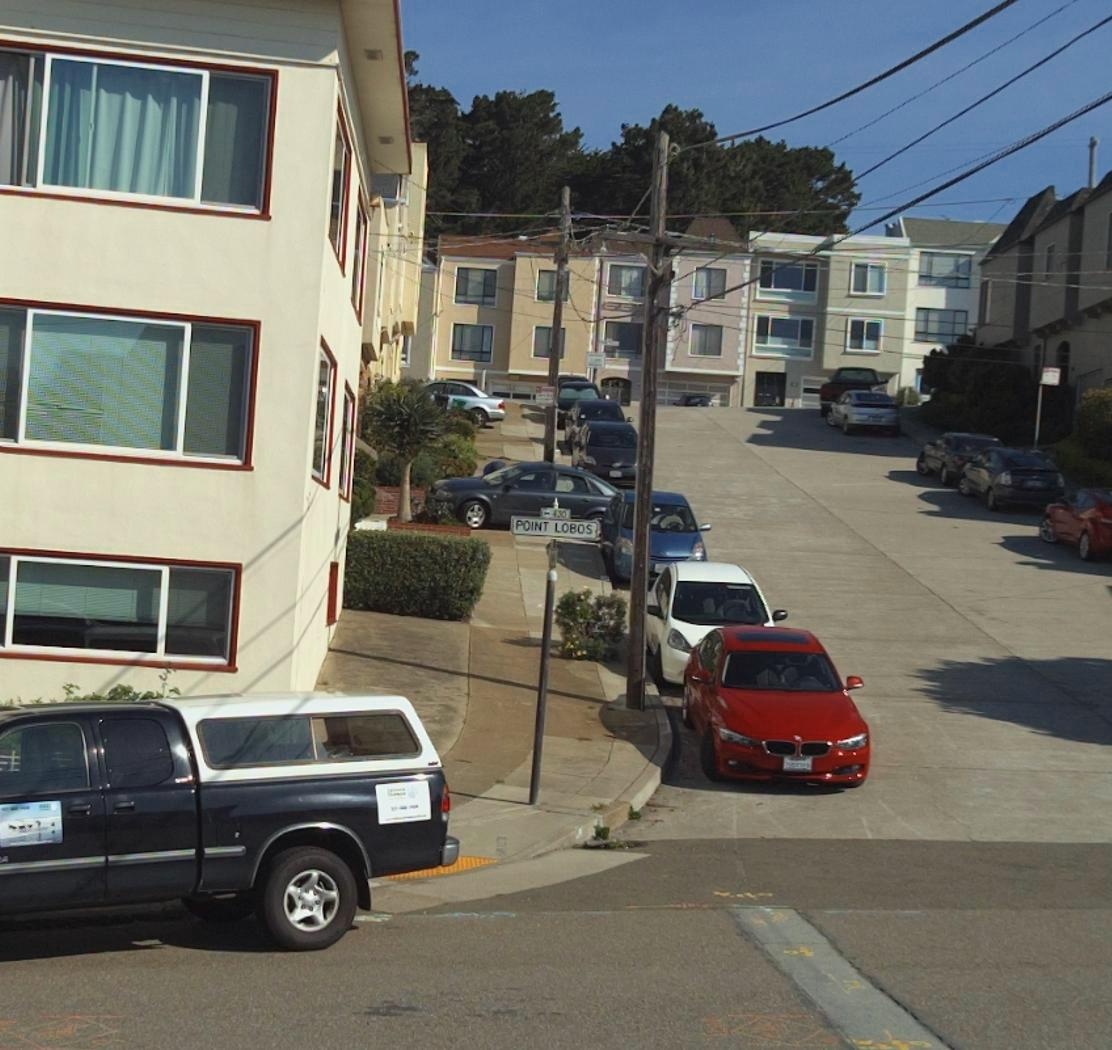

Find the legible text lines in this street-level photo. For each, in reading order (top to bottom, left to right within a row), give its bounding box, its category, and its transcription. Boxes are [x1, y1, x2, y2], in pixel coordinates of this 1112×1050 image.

[542, 509, 568, 520] StreetNumberRange: <-430
[514, 519, 595, 536] StreetName: POINT LOBOS